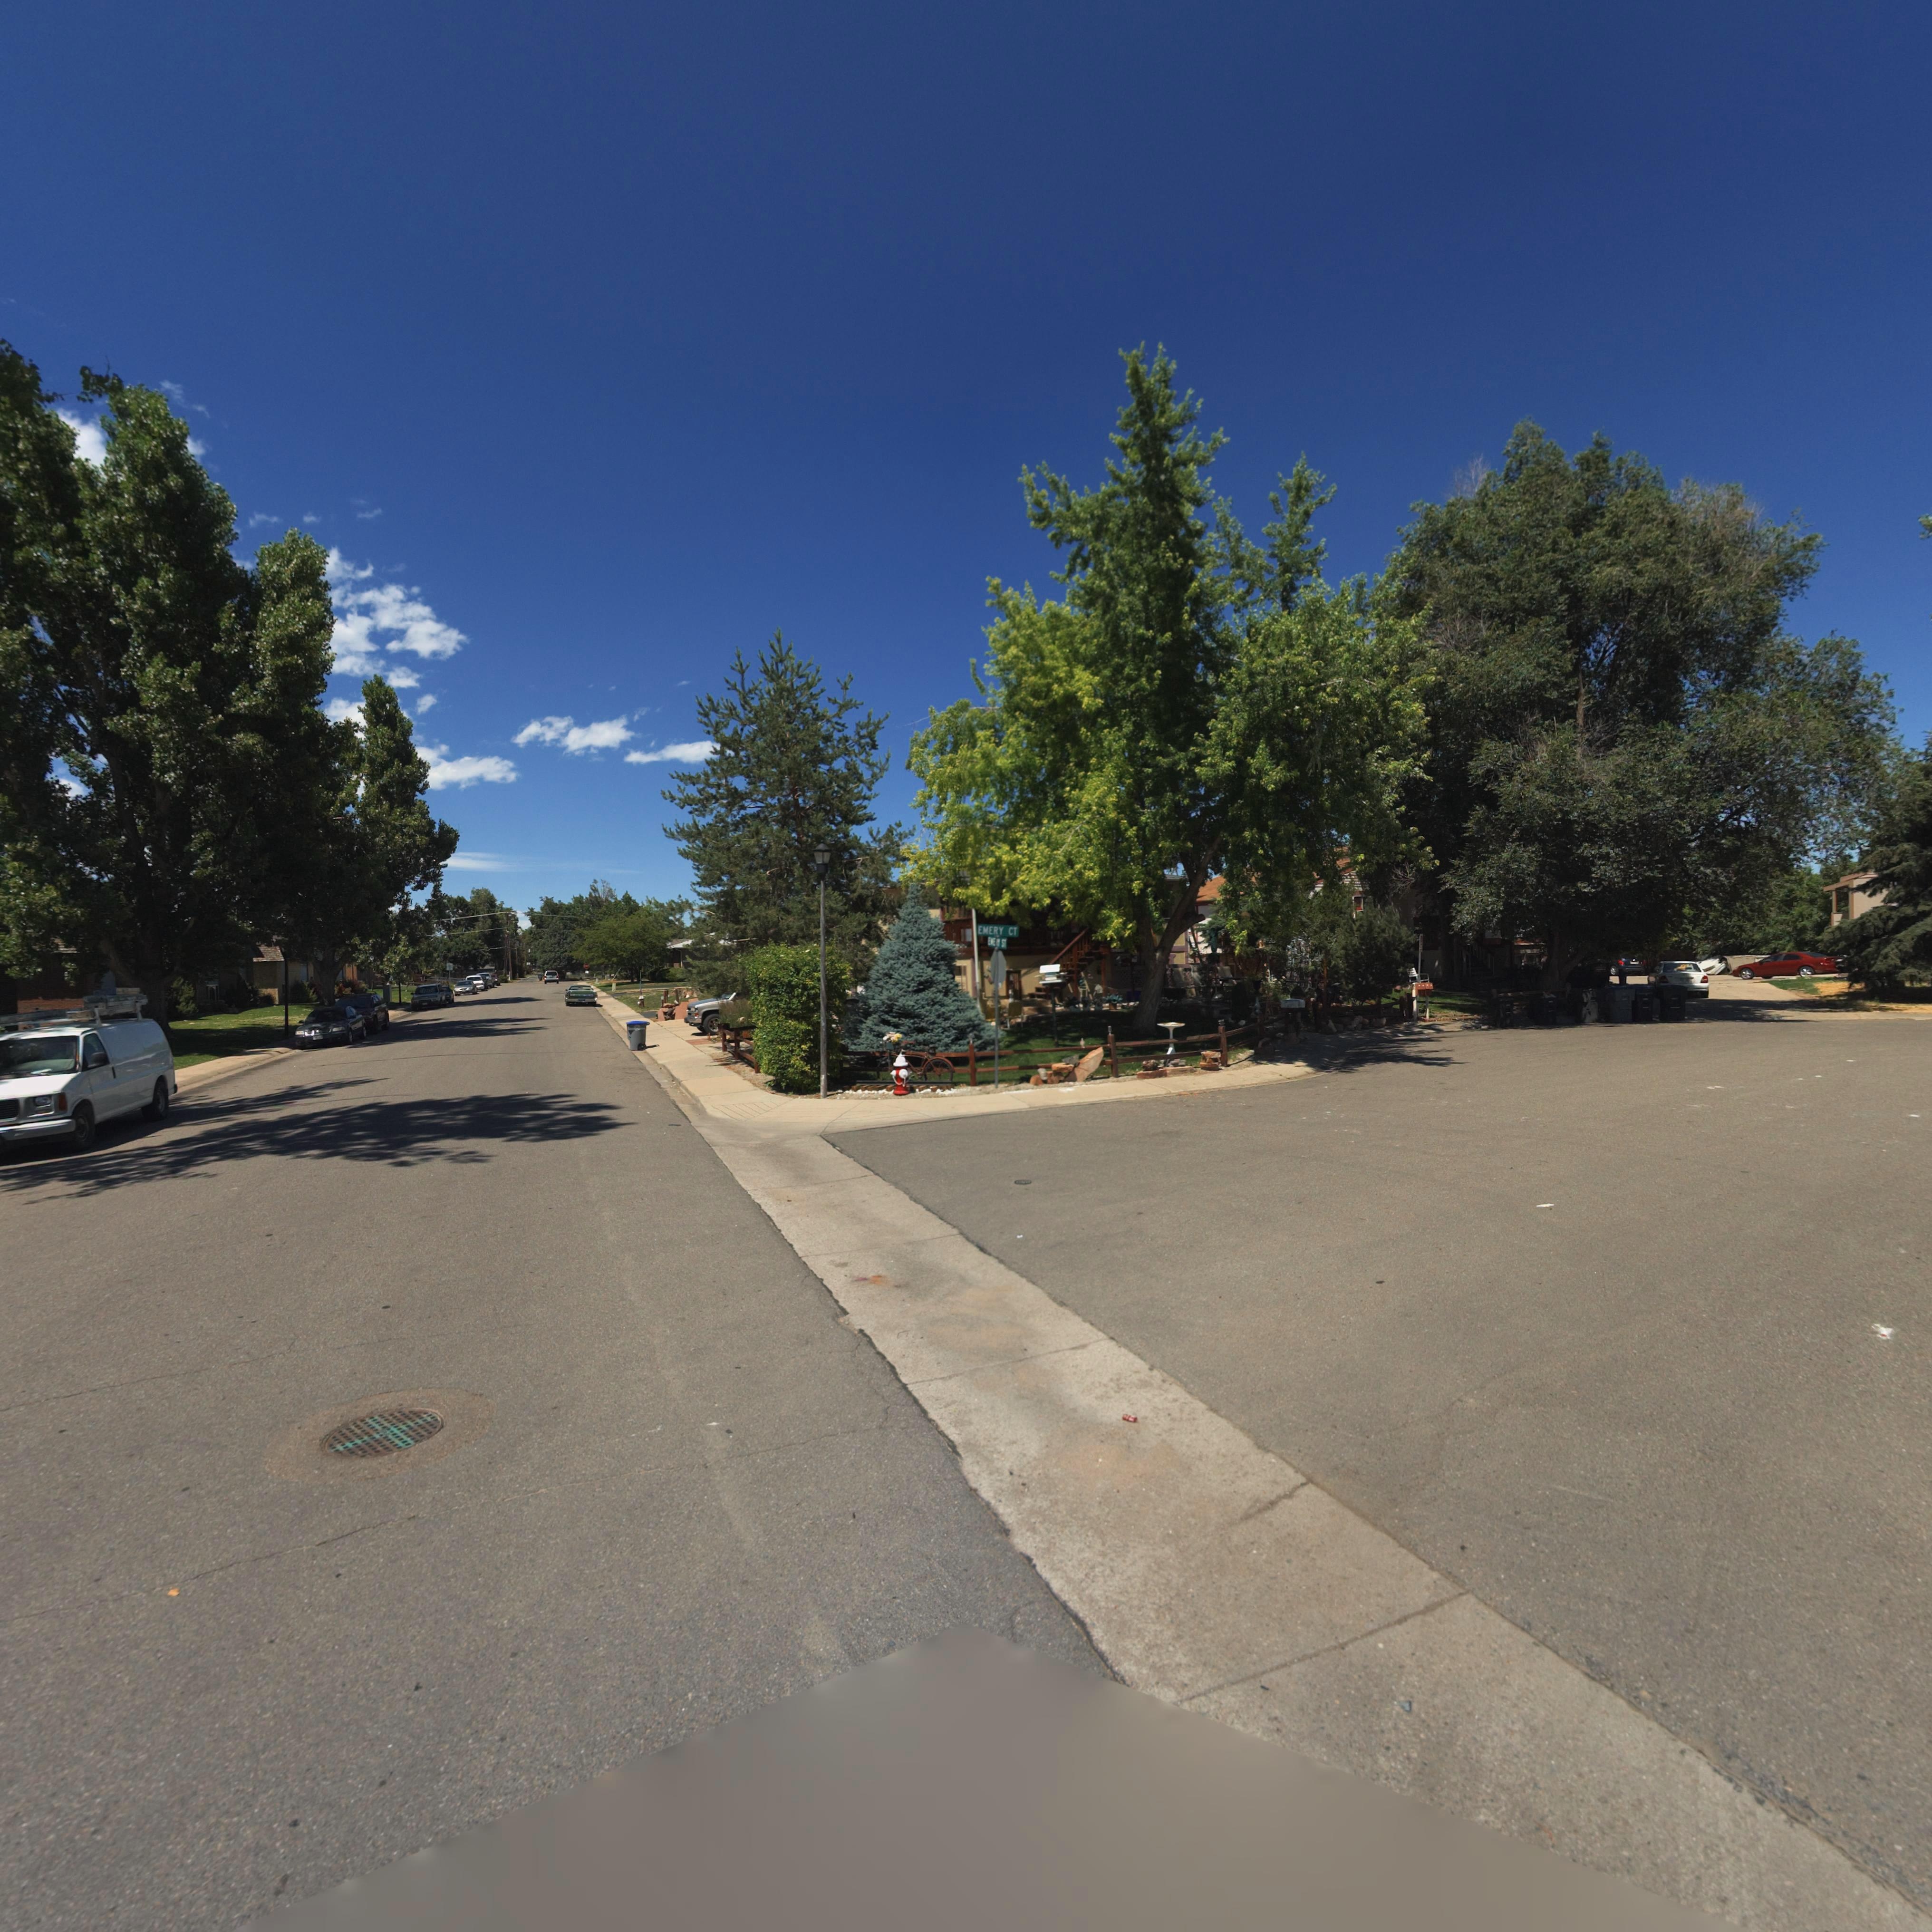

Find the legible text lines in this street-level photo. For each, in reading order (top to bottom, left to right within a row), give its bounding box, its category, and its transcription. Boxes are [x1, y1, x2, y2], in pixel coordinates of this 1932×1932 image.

[977, 925, 1017, 936] StreetName: EMERY CT
[987, 936, 1006, 948] StreetName: EMERY ST